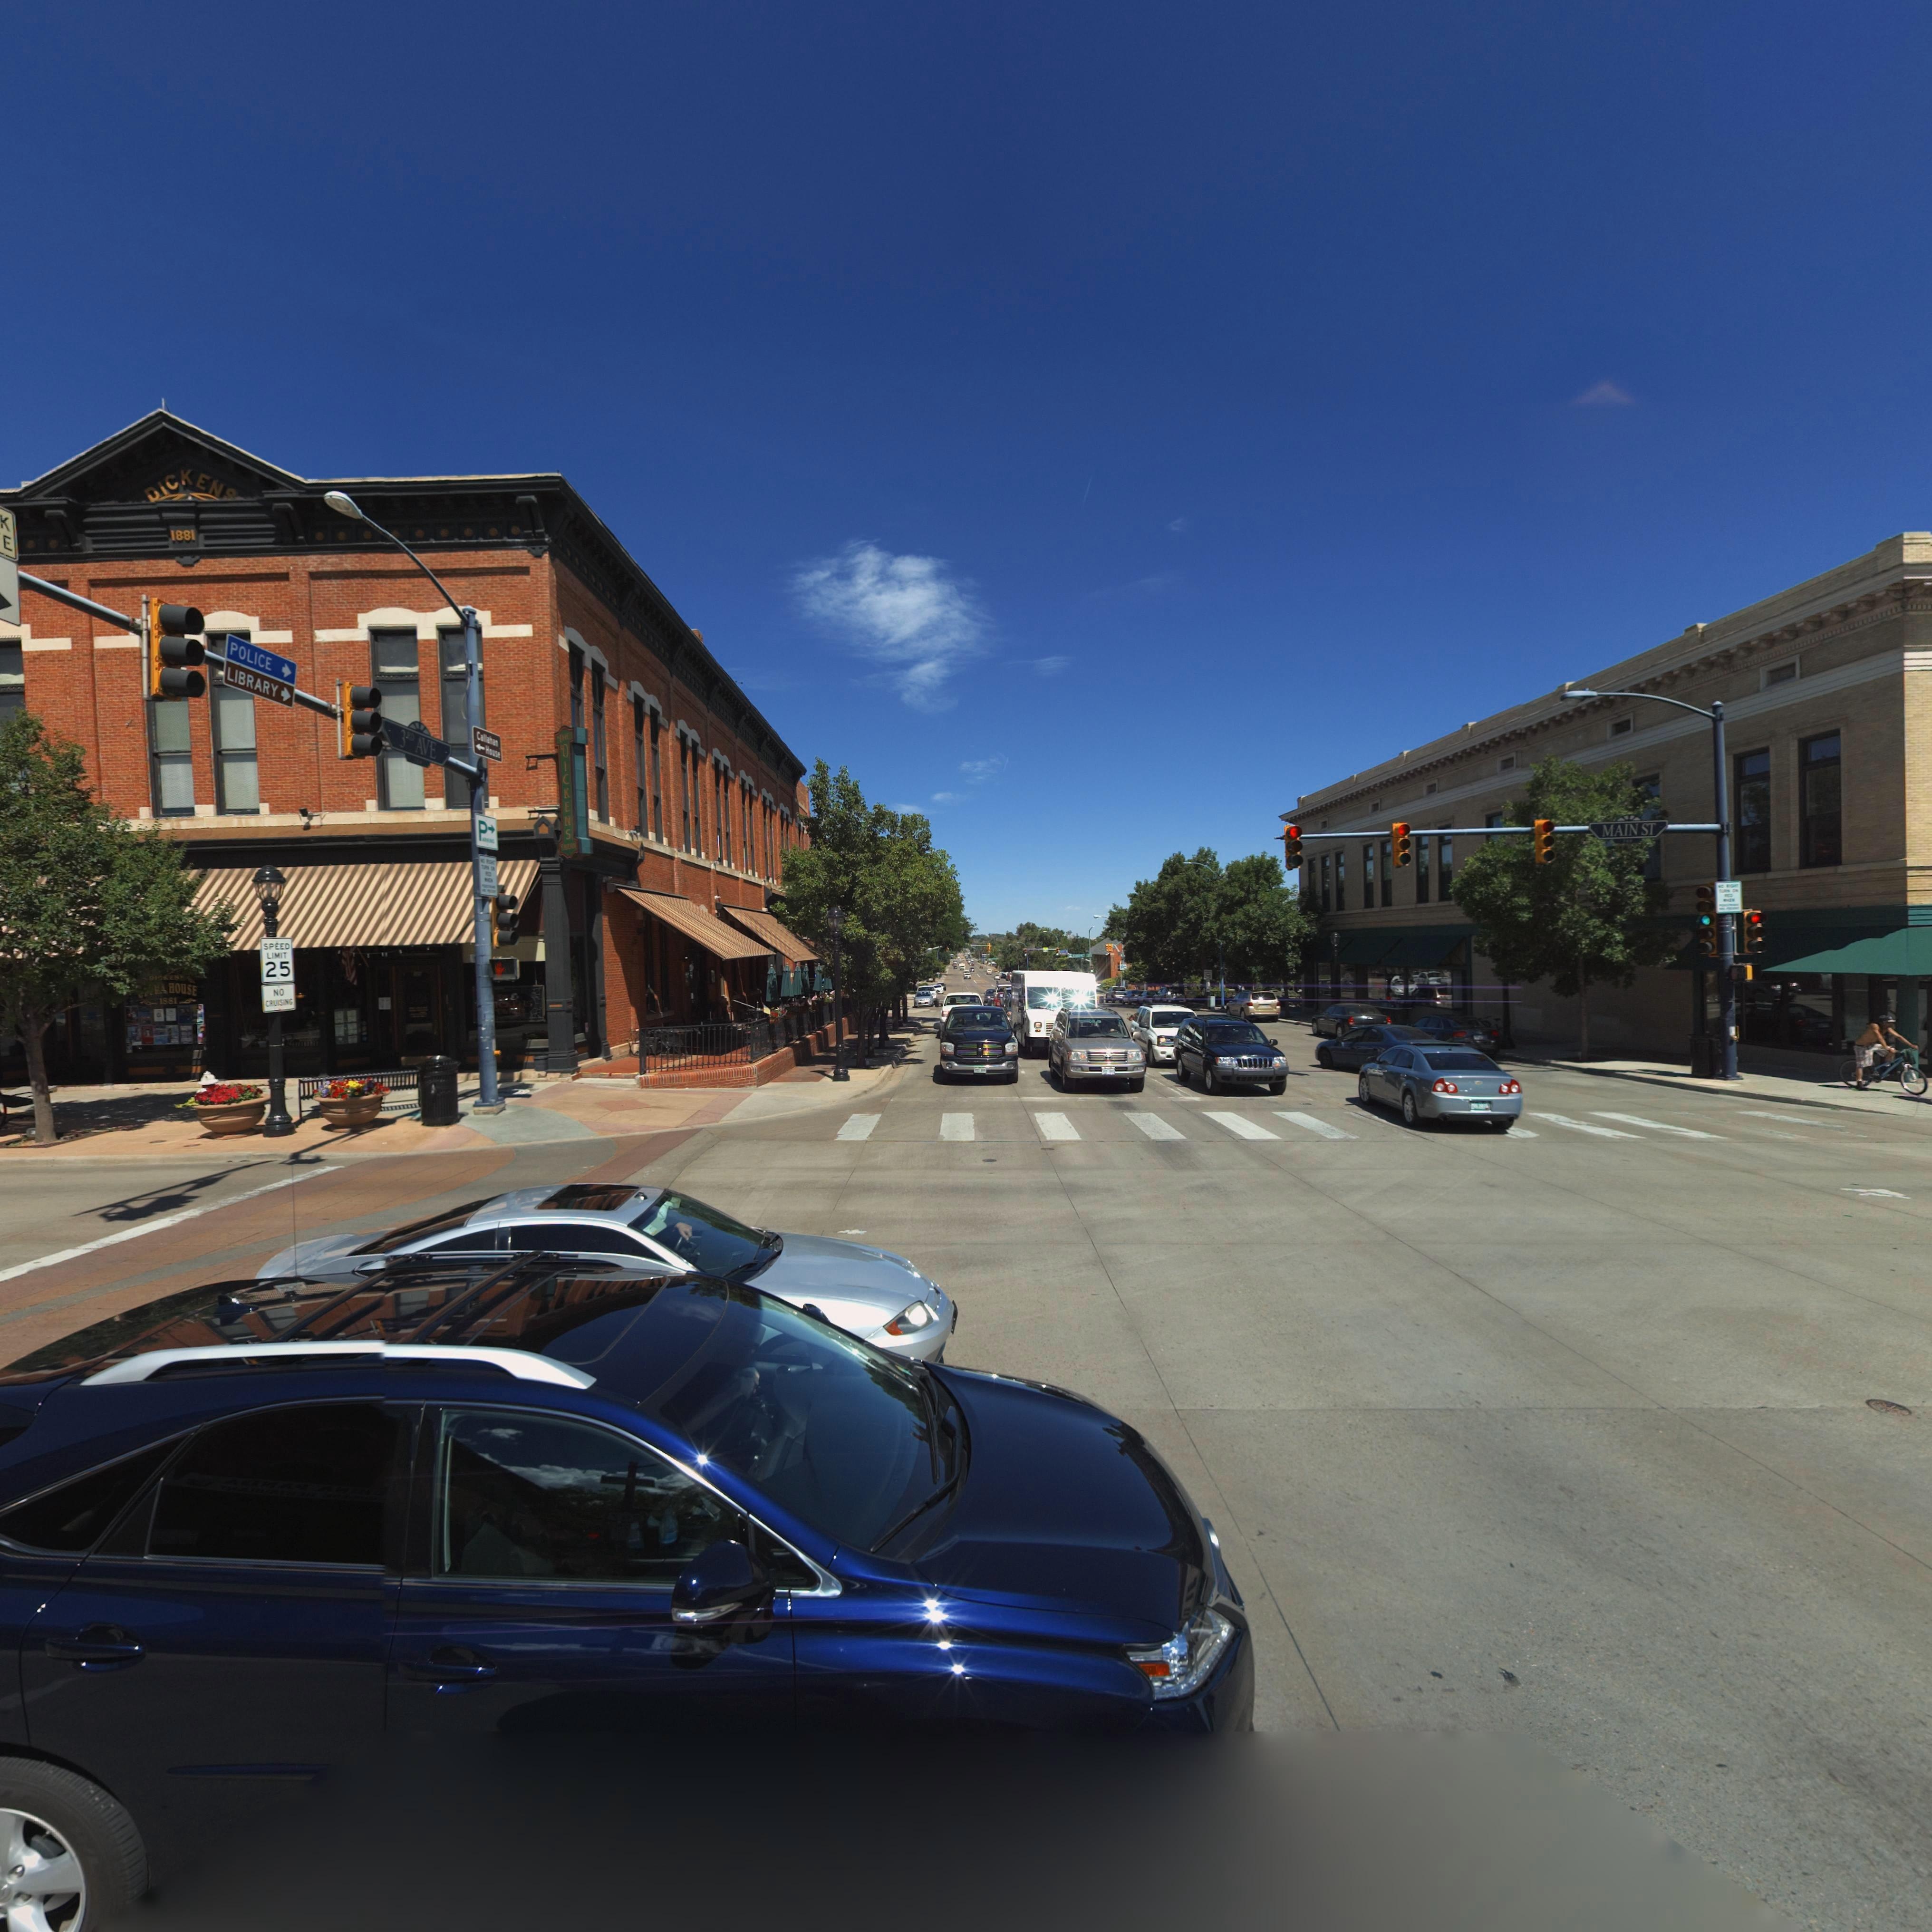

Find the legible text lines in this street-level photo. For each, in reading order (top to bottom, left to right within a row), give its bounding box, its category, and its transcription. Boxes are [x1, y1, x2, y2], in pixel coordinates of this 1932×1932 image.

[142, 468, 238, 503] BusinessName: DICKENS
[170, 529, 196, 541] StreetNumber: 1881
[556, 733, 569, 742] BusinessName: THE
[399, 728, 437, 760] StreetName: 3RD AVE
[560, 743, 571, 840] BusinessName: DICKENS
[1601, 822, 1657, 837] StreetName: MAIN ST
[147, 974, 184, 981] BusinessName: DICKENS
[159, 996, 177, 1005] StreetNumber: 1881
[494, 999, 533, 1008] BusinessName: ICKENS